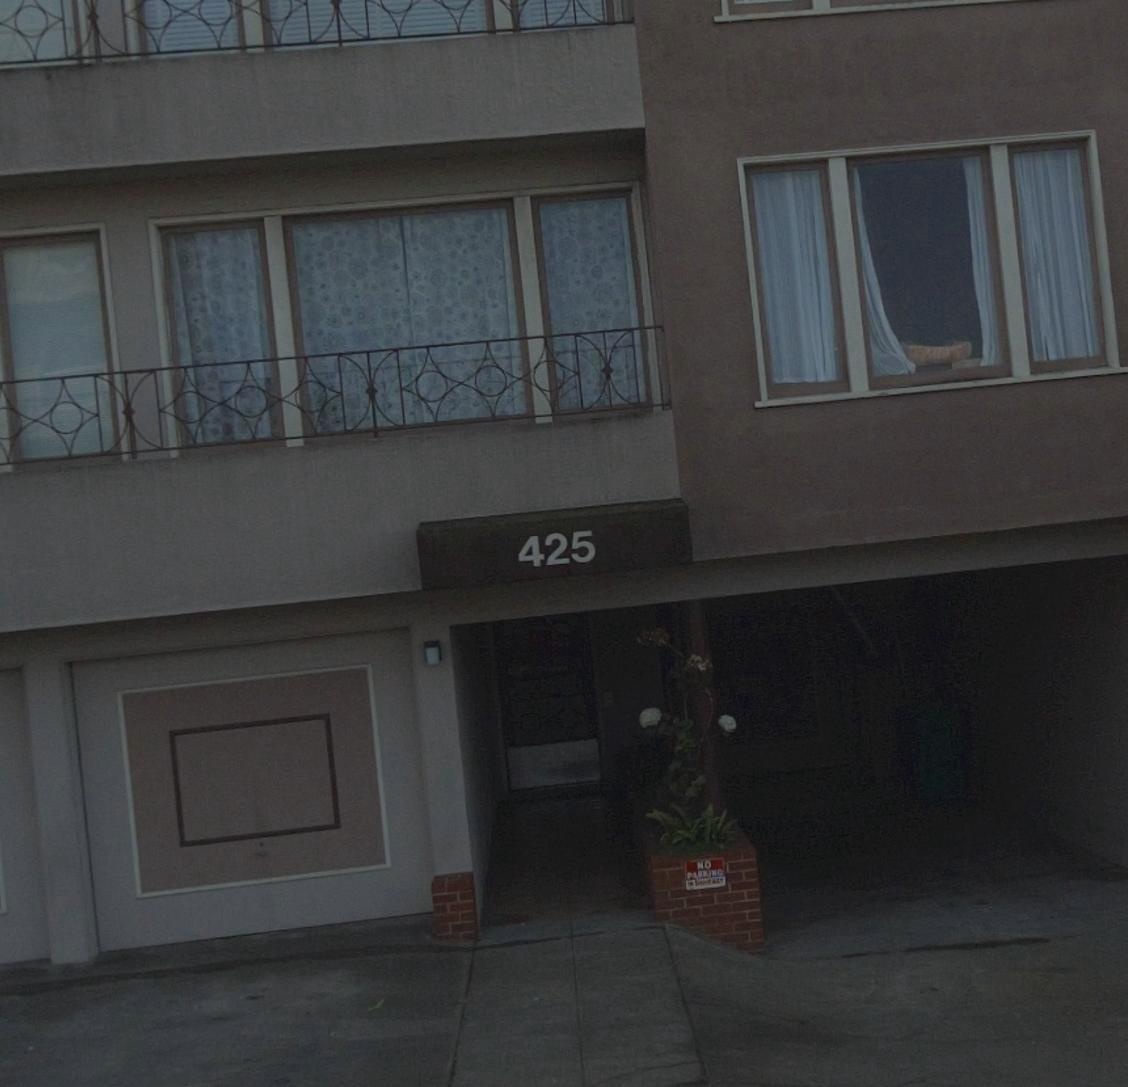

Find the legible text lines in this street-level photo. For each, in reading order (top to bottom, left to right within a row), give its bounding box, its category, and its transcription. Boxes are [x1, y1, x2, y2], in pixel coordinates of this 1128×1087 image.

[512, 526, 600, 571] StreetNumber: 425
[695, 858, 714, 872] None: NO
[685, 866, 725, 882] None: PARKING